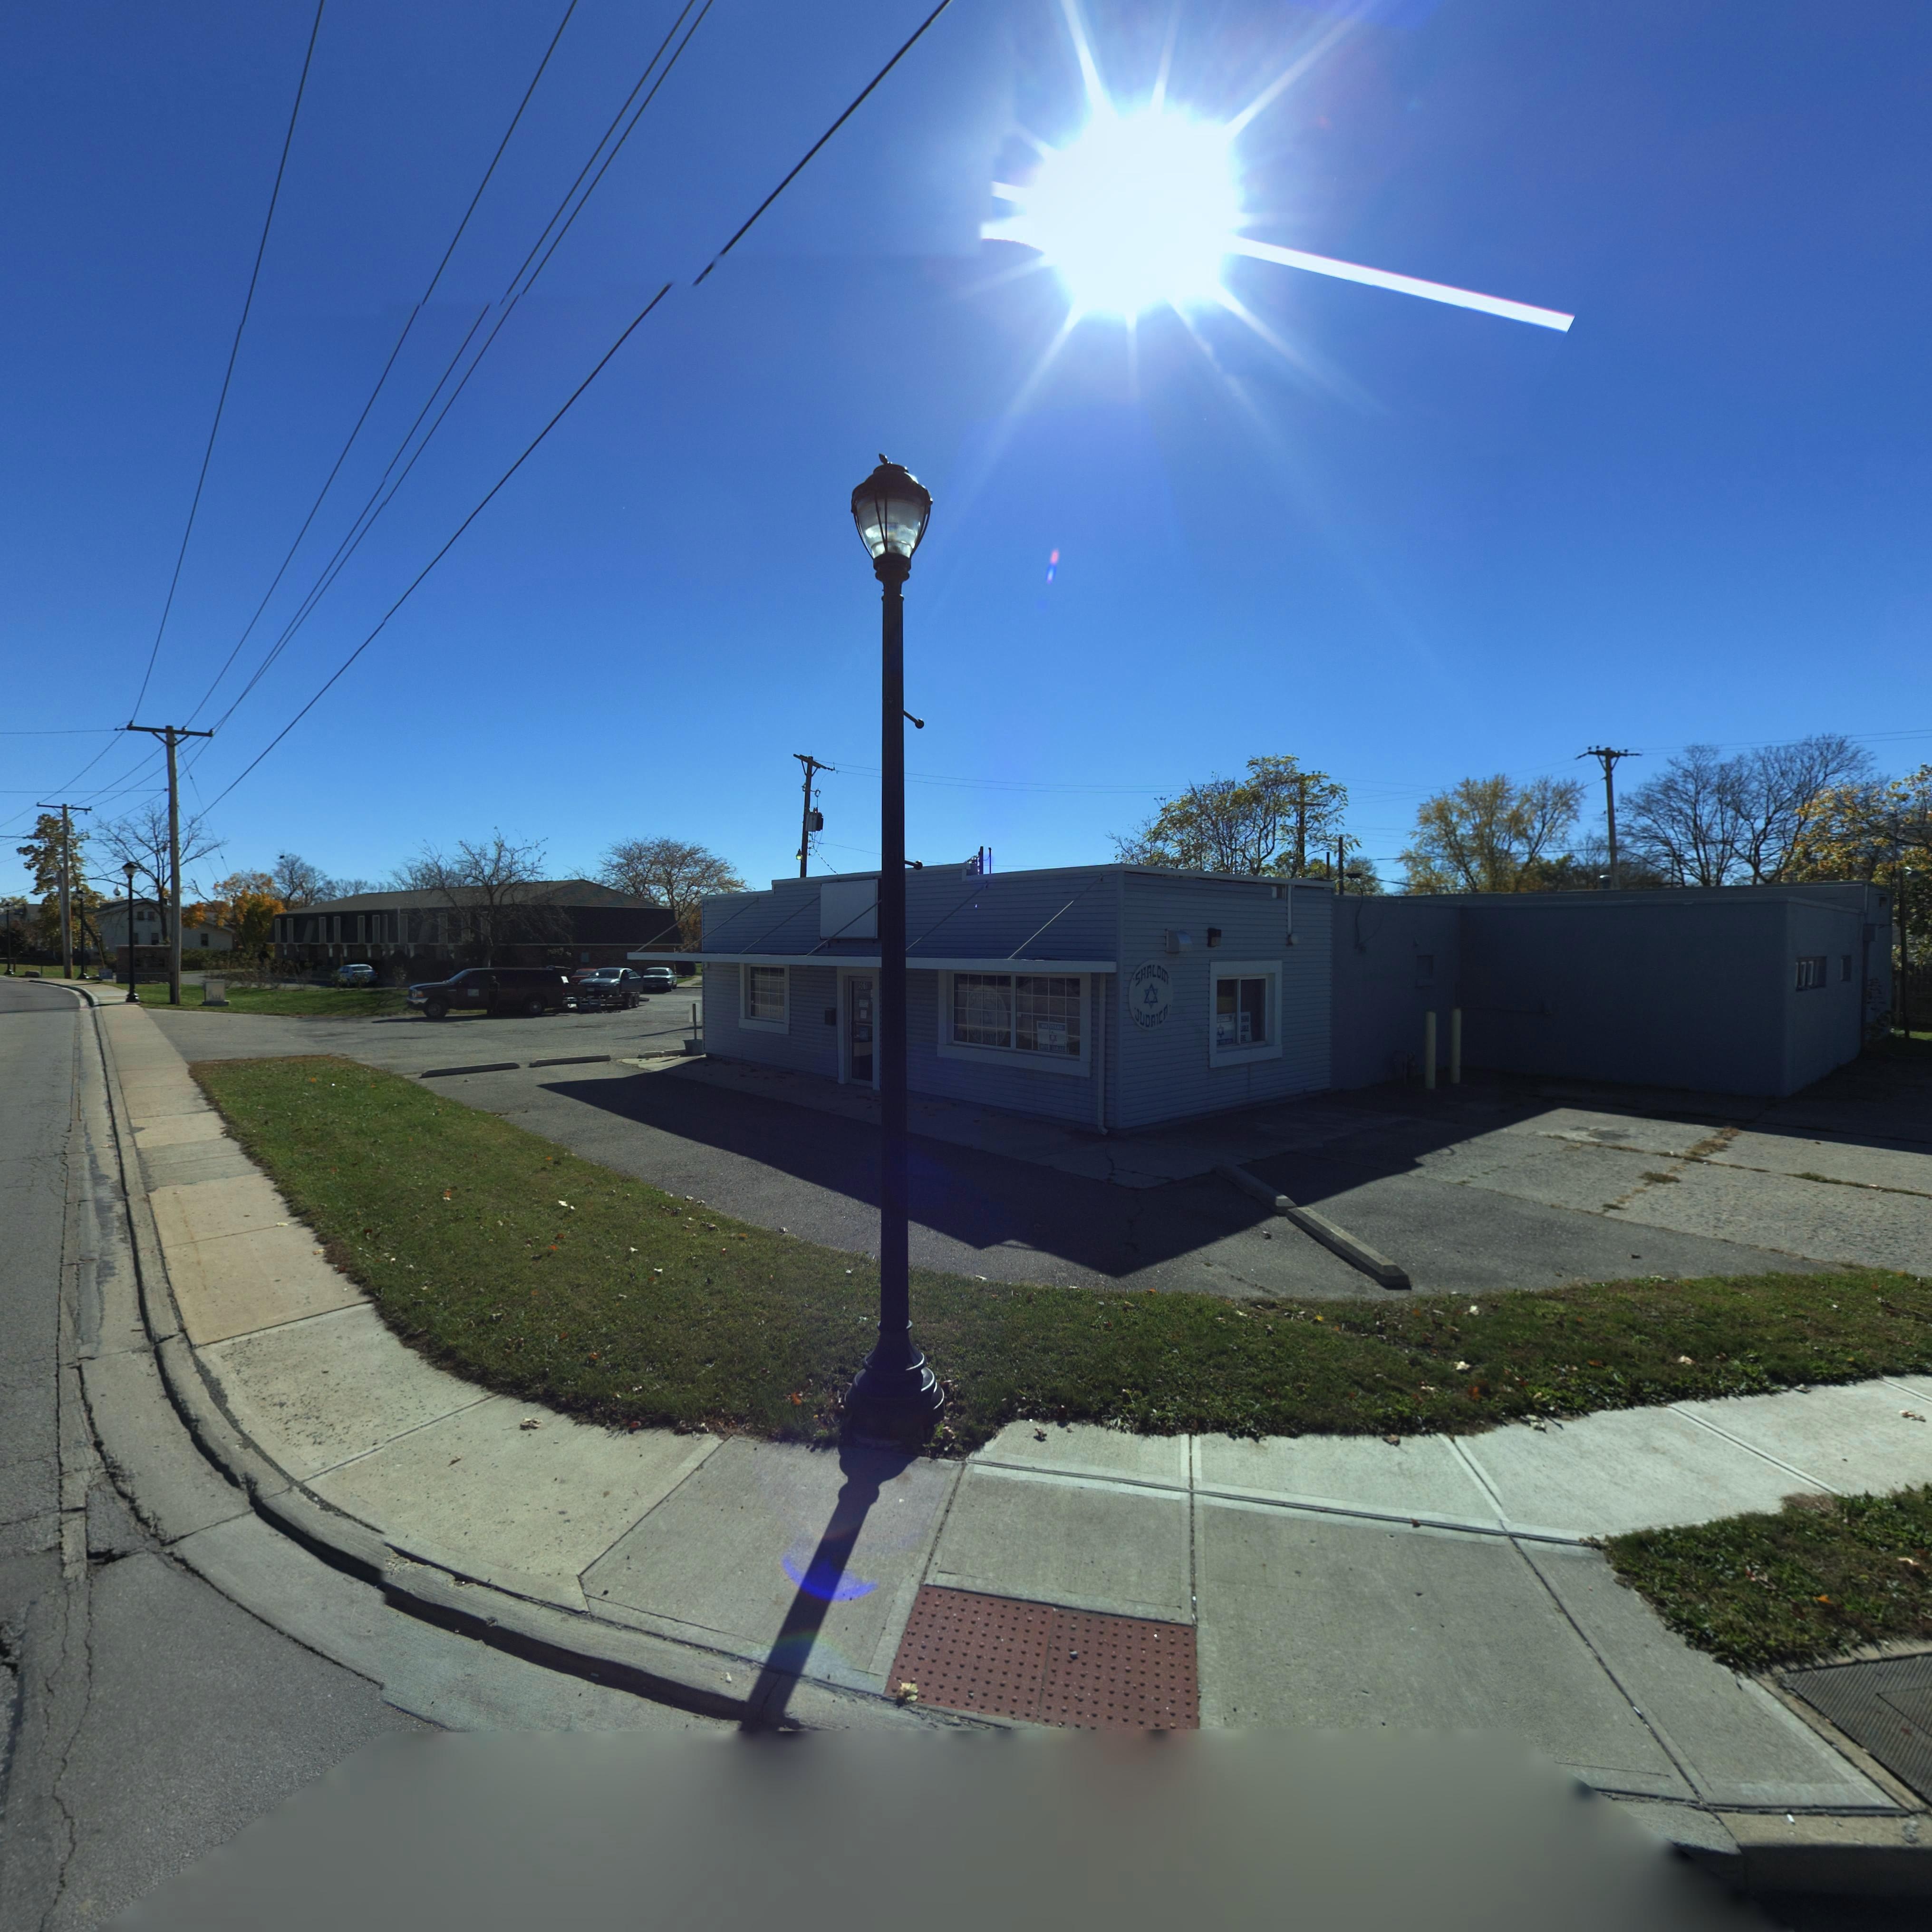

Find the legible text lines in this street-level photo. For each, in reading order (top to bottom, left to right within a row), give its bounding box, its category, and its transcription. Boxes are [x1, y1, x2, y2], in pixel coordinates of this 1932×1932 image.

[858, 981, 867, 990] StreetNumber: 501
[1134, 963, 1169, 987] BusinessName: SHALOm
[968, 989, 1004, 1013] BusinessName: SH*LO*
[1041, 1024, 1063, 1031] None: WE STAND
[1134, 1004, 1169, 1029] BusinessName: JUDAICA
[1217, 1016, 1230, 1023] None: STAND